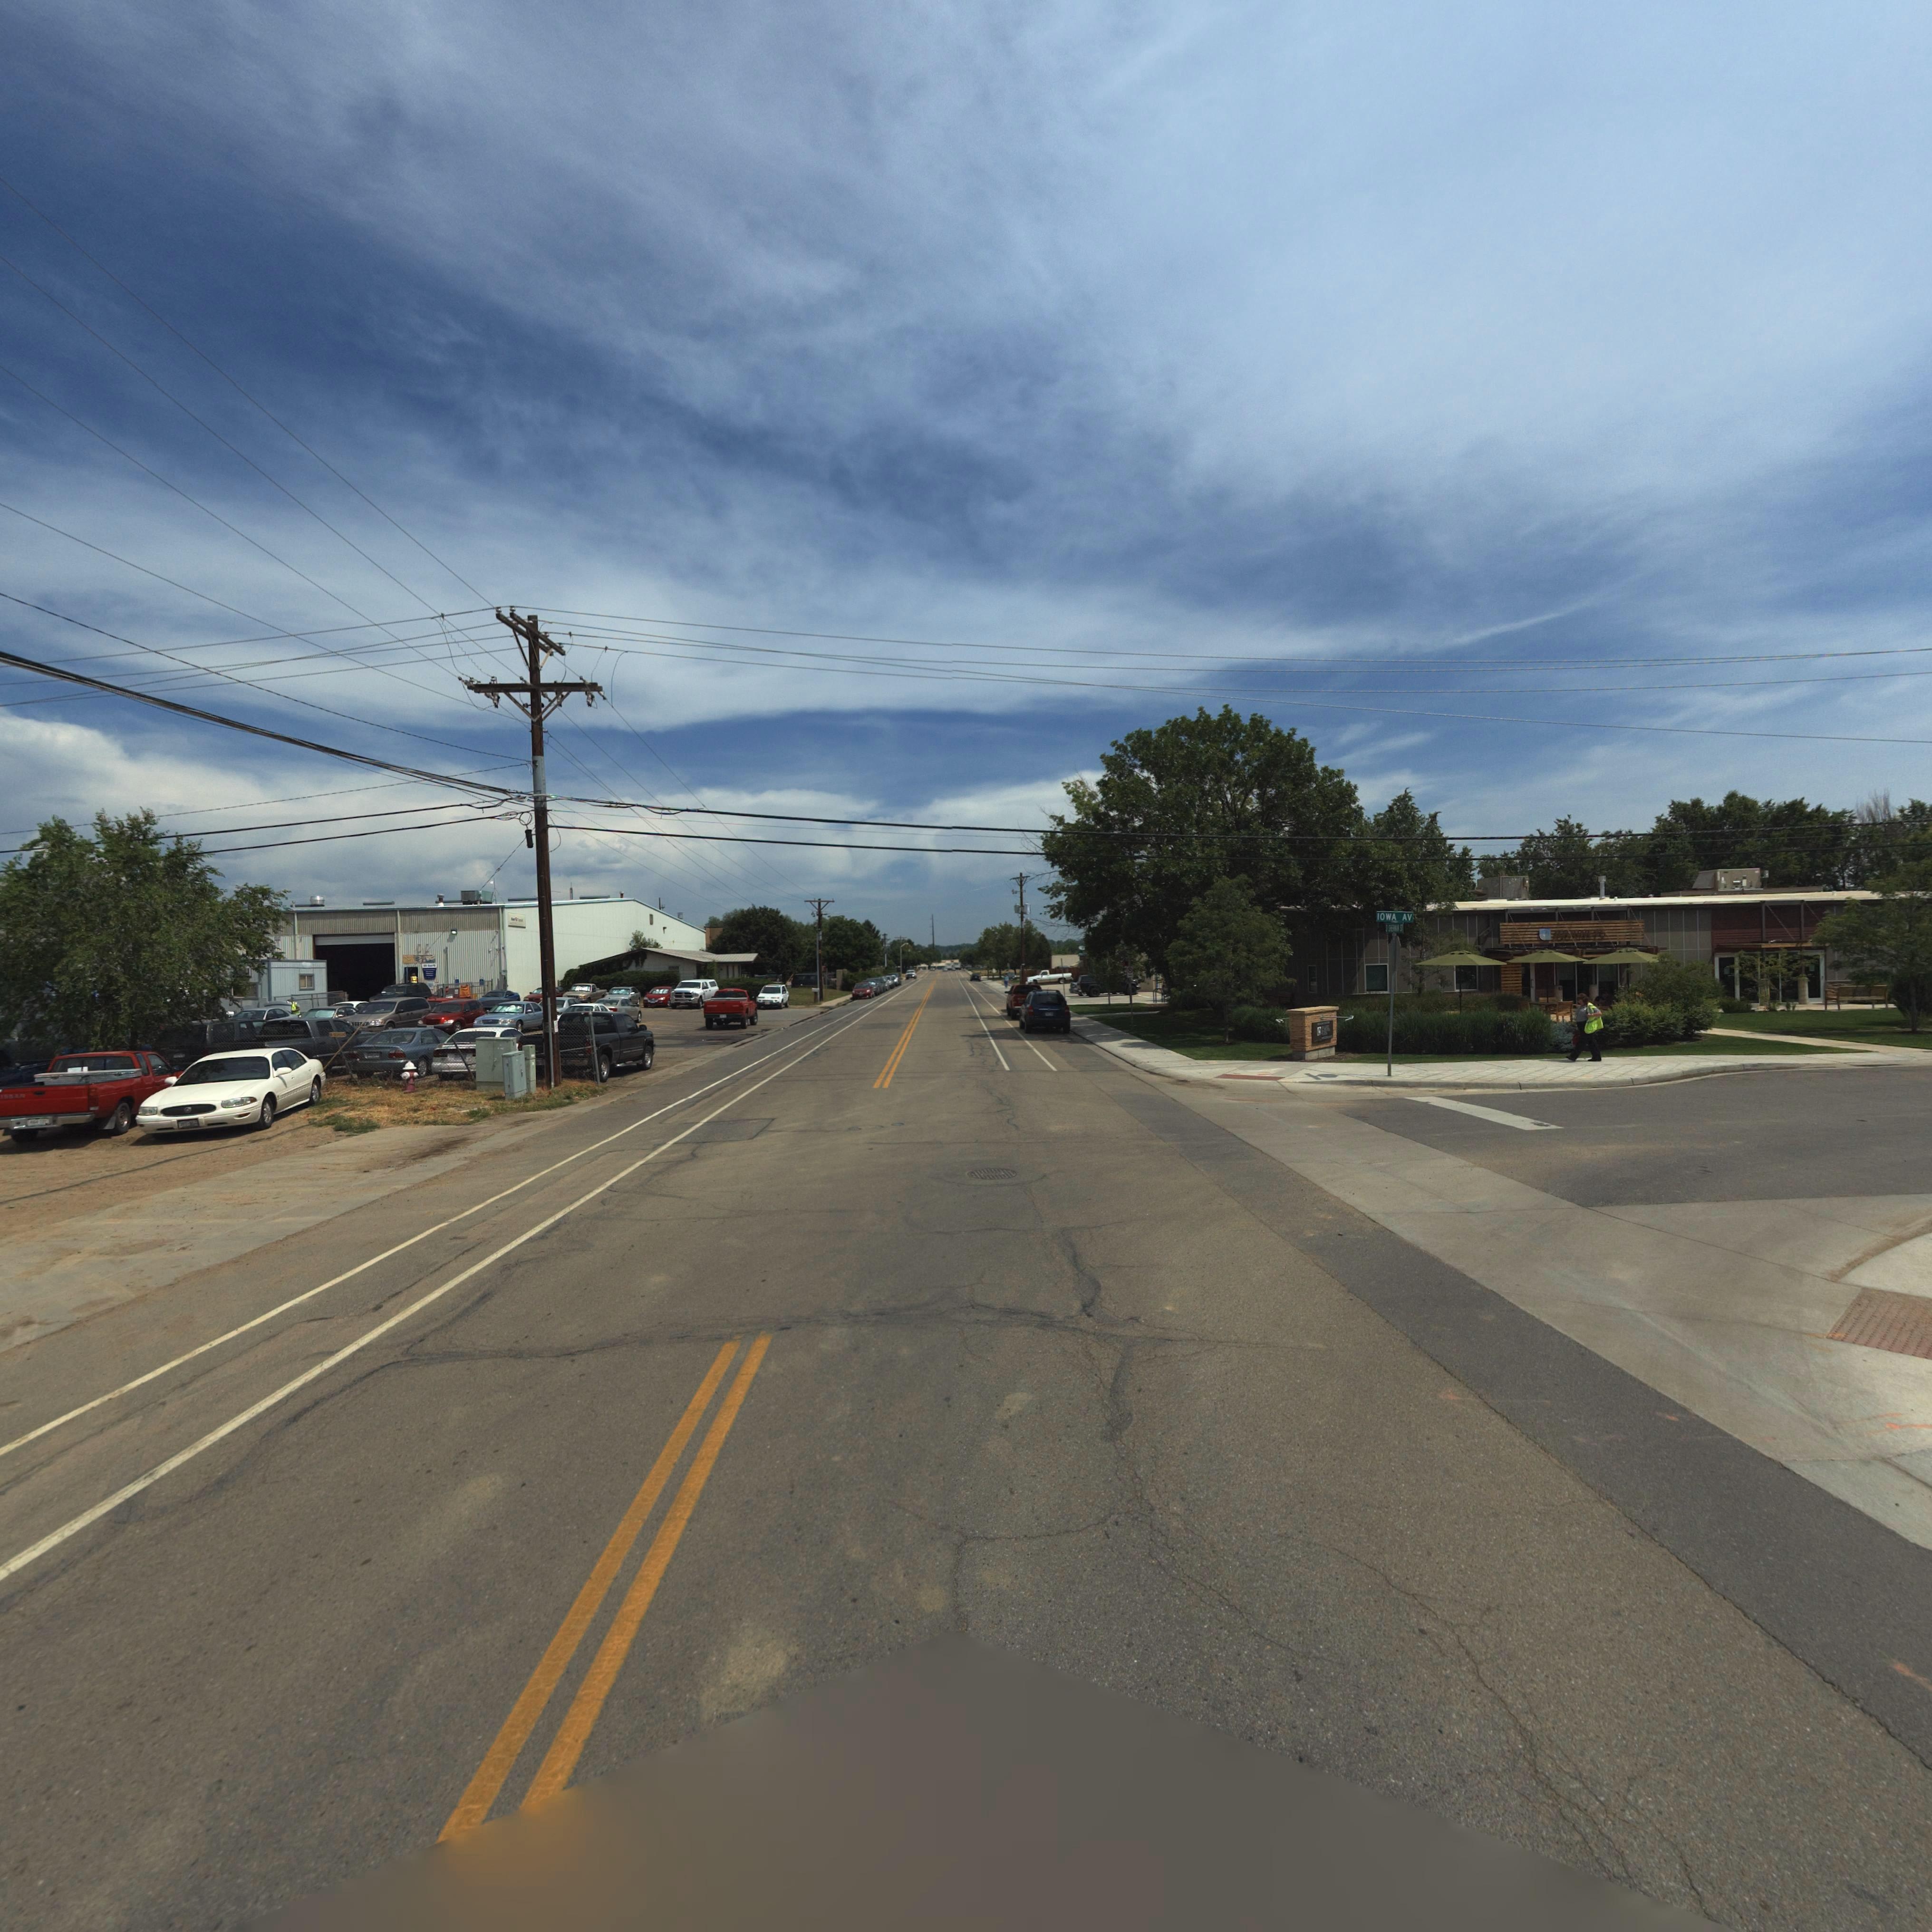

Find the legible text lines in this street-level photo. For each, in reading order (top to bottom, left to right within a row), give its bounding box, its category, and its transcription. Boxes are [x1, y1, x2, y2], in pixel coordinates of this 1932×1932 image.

[1377, 913, 1412, 920] StreetName: IOWA AV
[1385, 924, 1403, 932] StreetName: S SHERMAN ST
[1552, 928, 1606, 941] BusinessName: *****y's